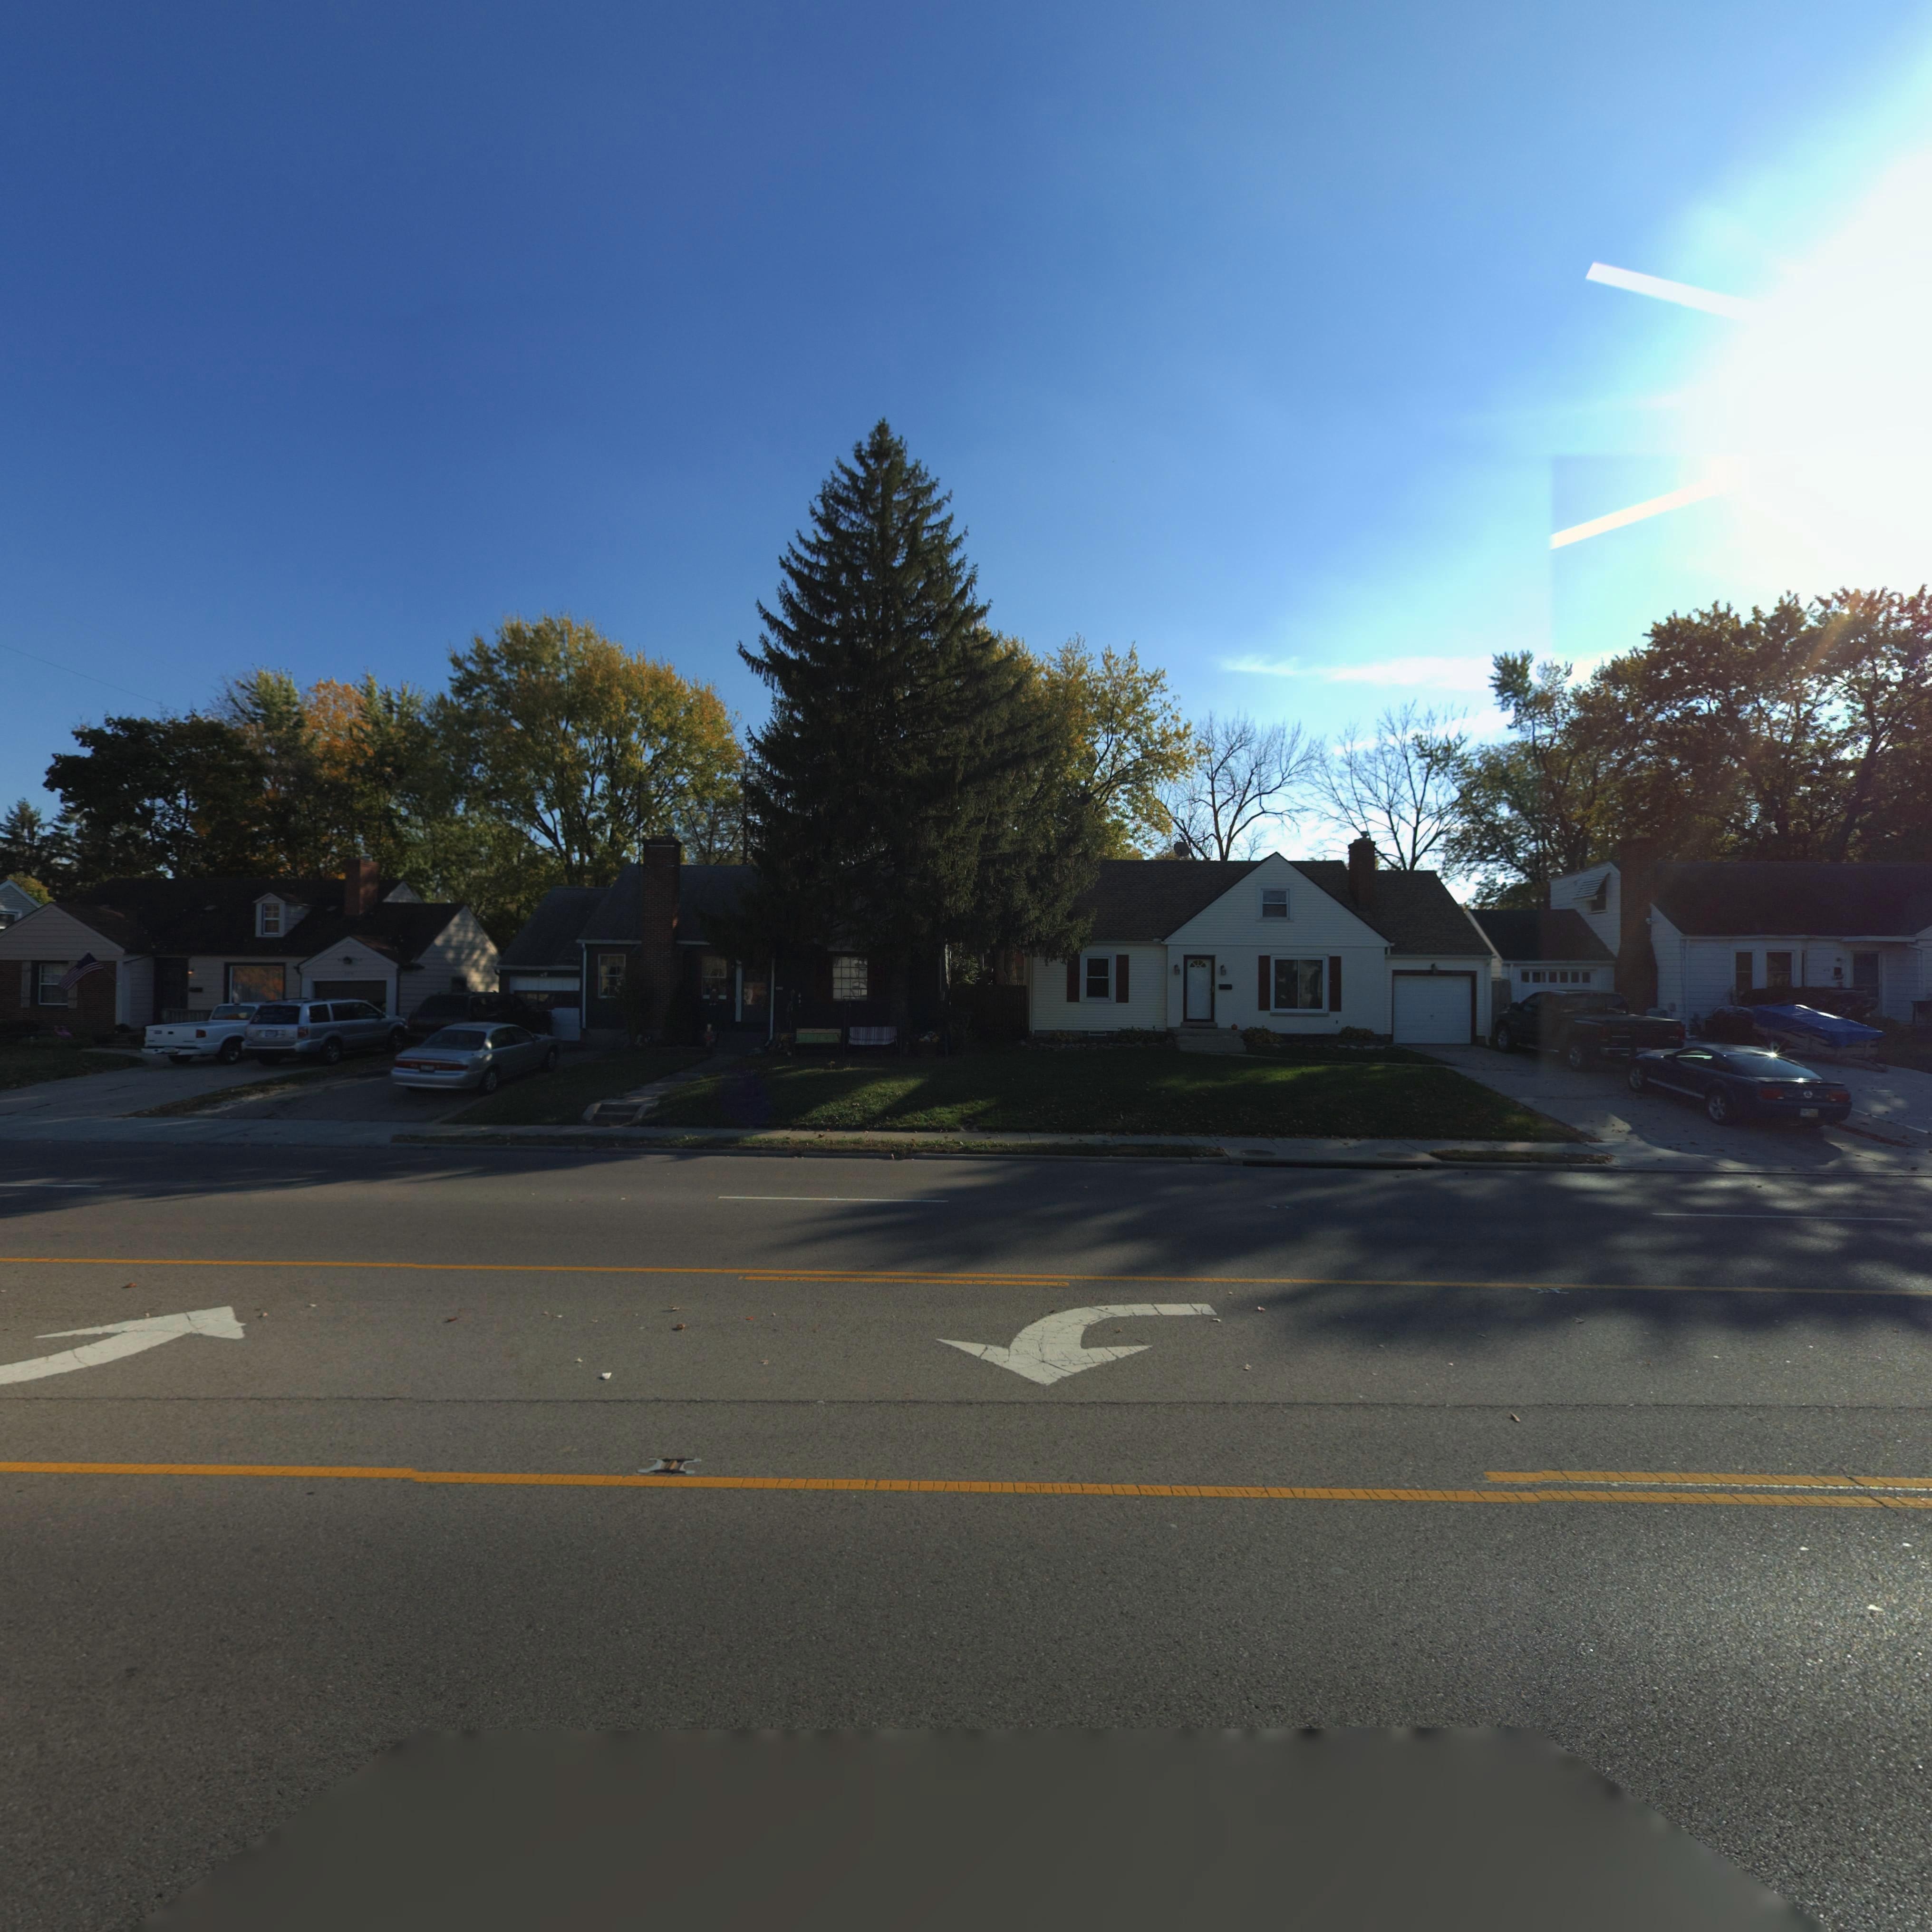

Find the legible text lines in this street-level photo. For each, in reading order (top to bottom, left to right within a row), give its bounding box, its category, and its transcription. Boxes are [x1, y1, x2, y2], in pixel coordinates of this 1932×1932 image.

[775, 986, 783, 990] StreetNumber: 4**